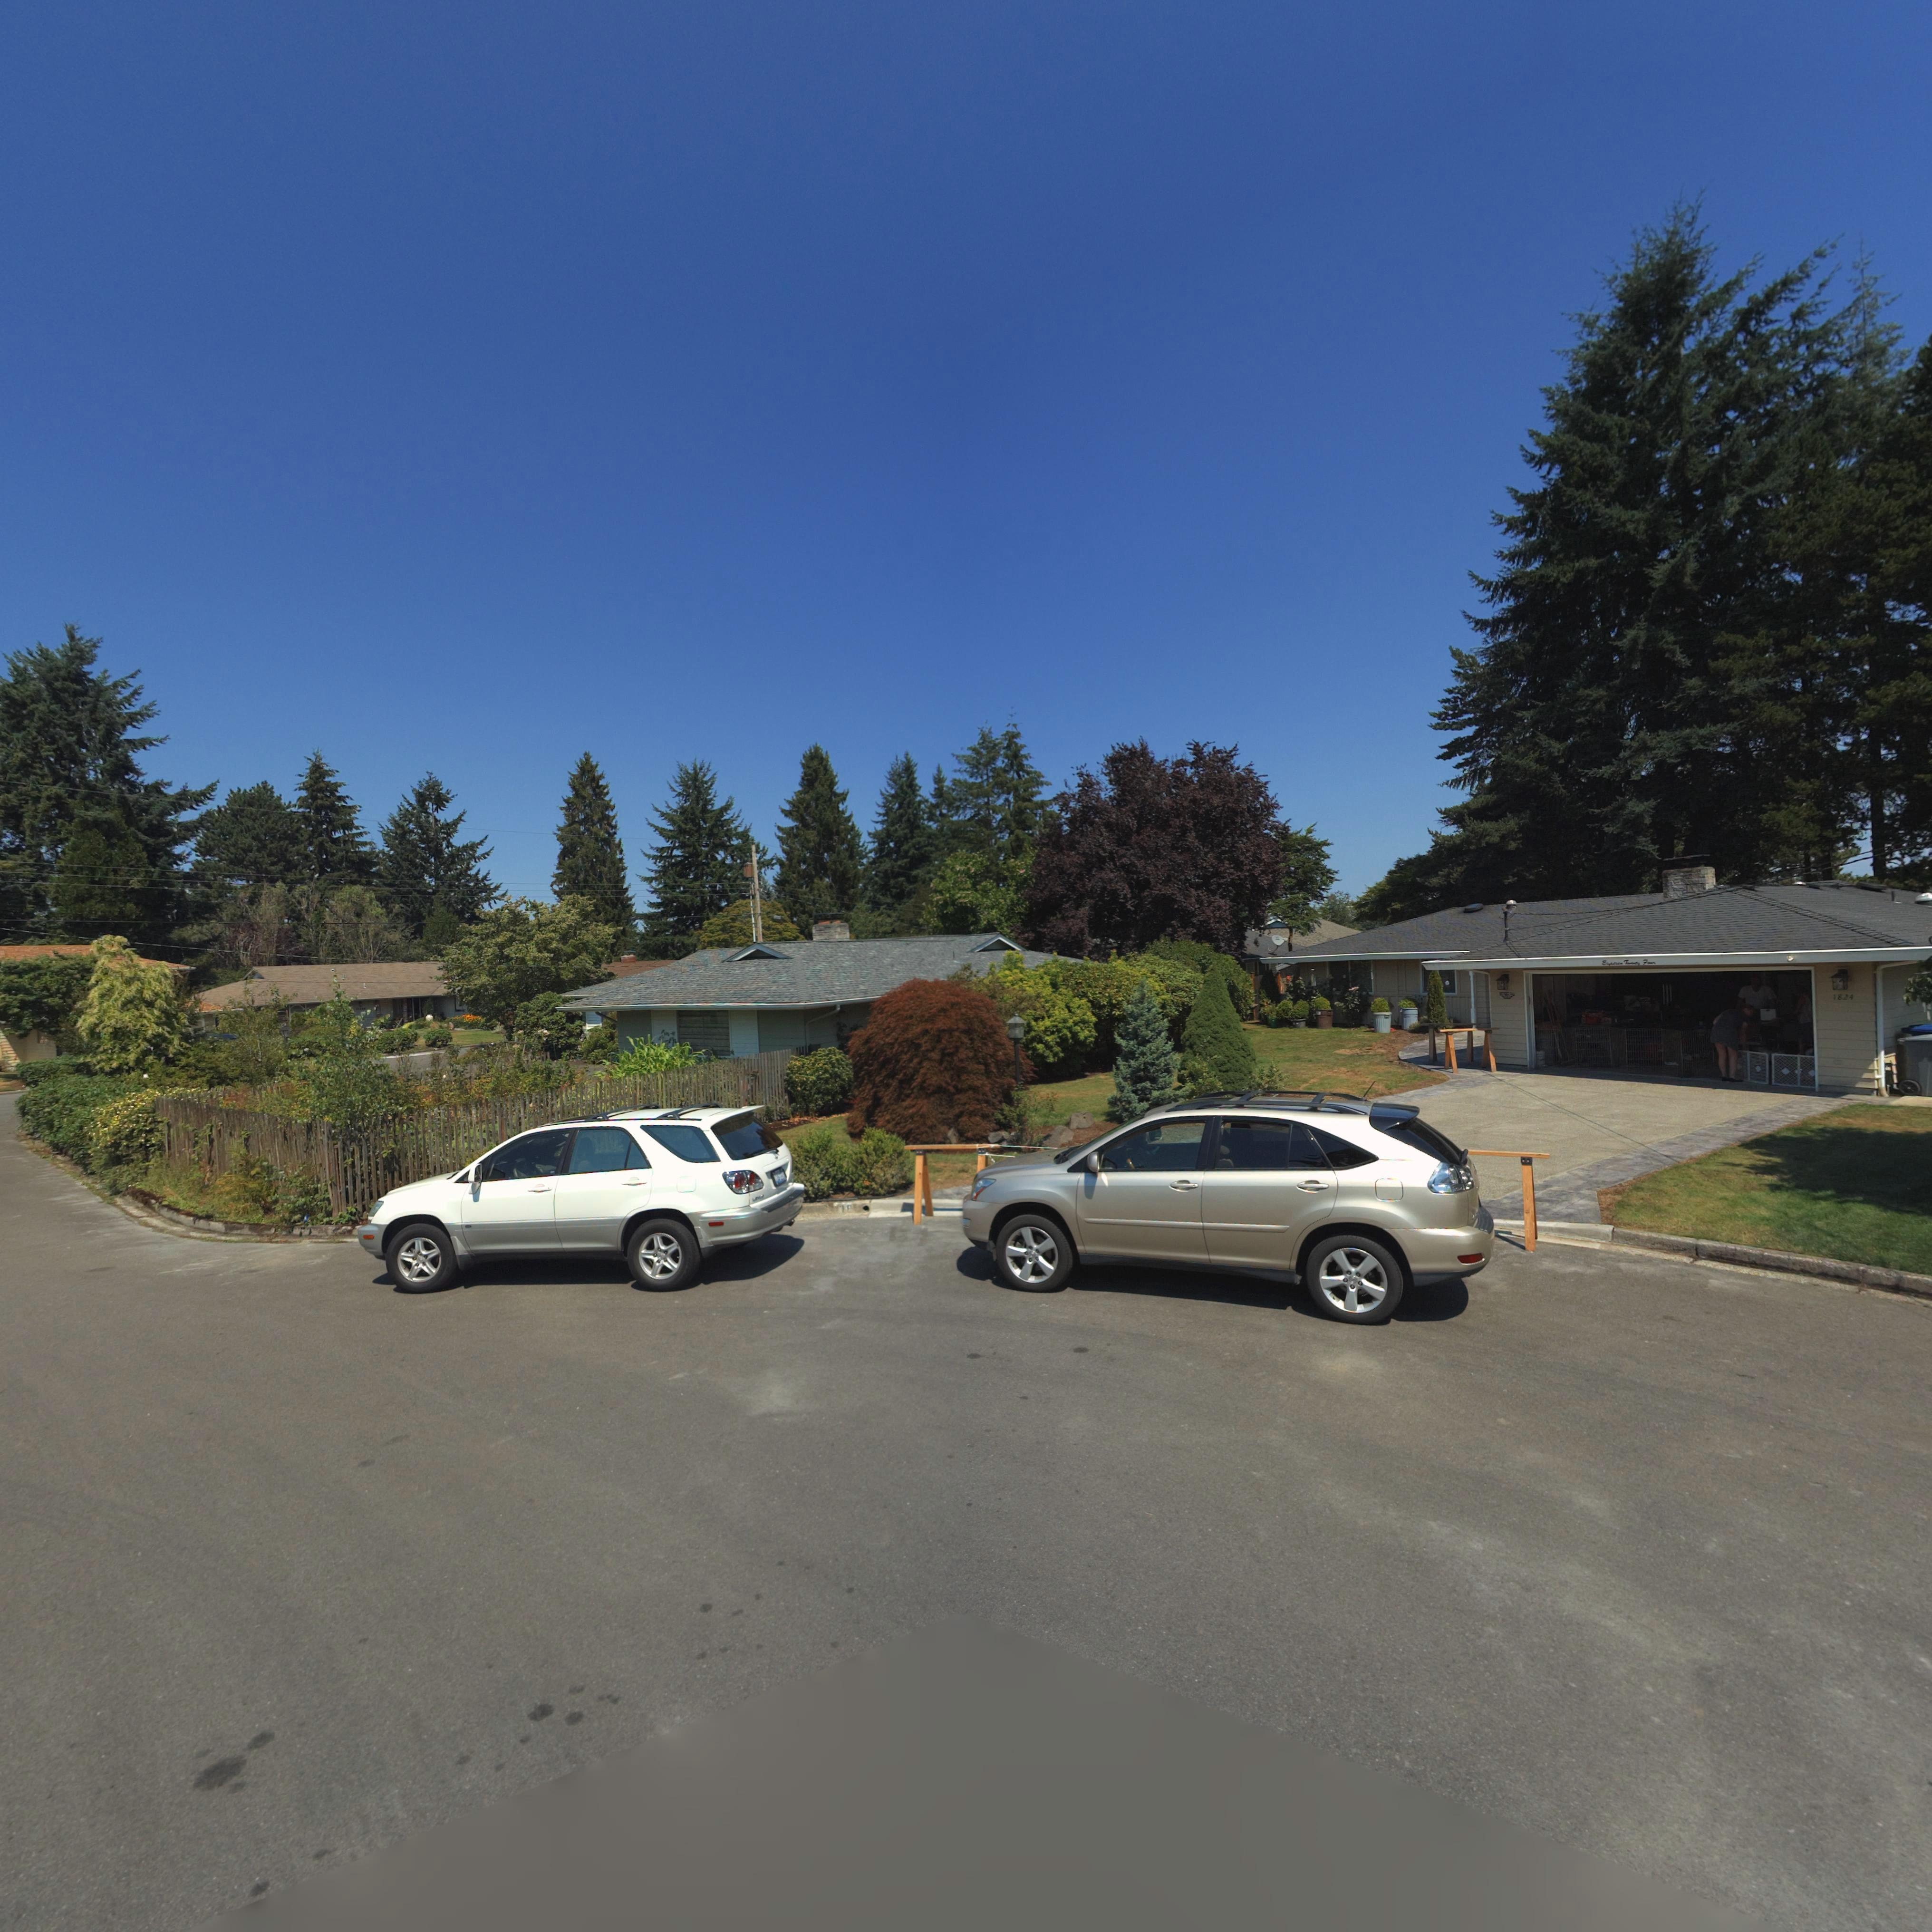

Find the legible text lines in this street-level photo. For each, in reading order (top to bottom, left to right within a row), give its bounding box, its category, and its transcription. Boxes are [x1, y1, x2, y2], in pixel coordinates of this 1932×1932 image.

[1832, 993, 1854, 1001] StreetNumber: 1824